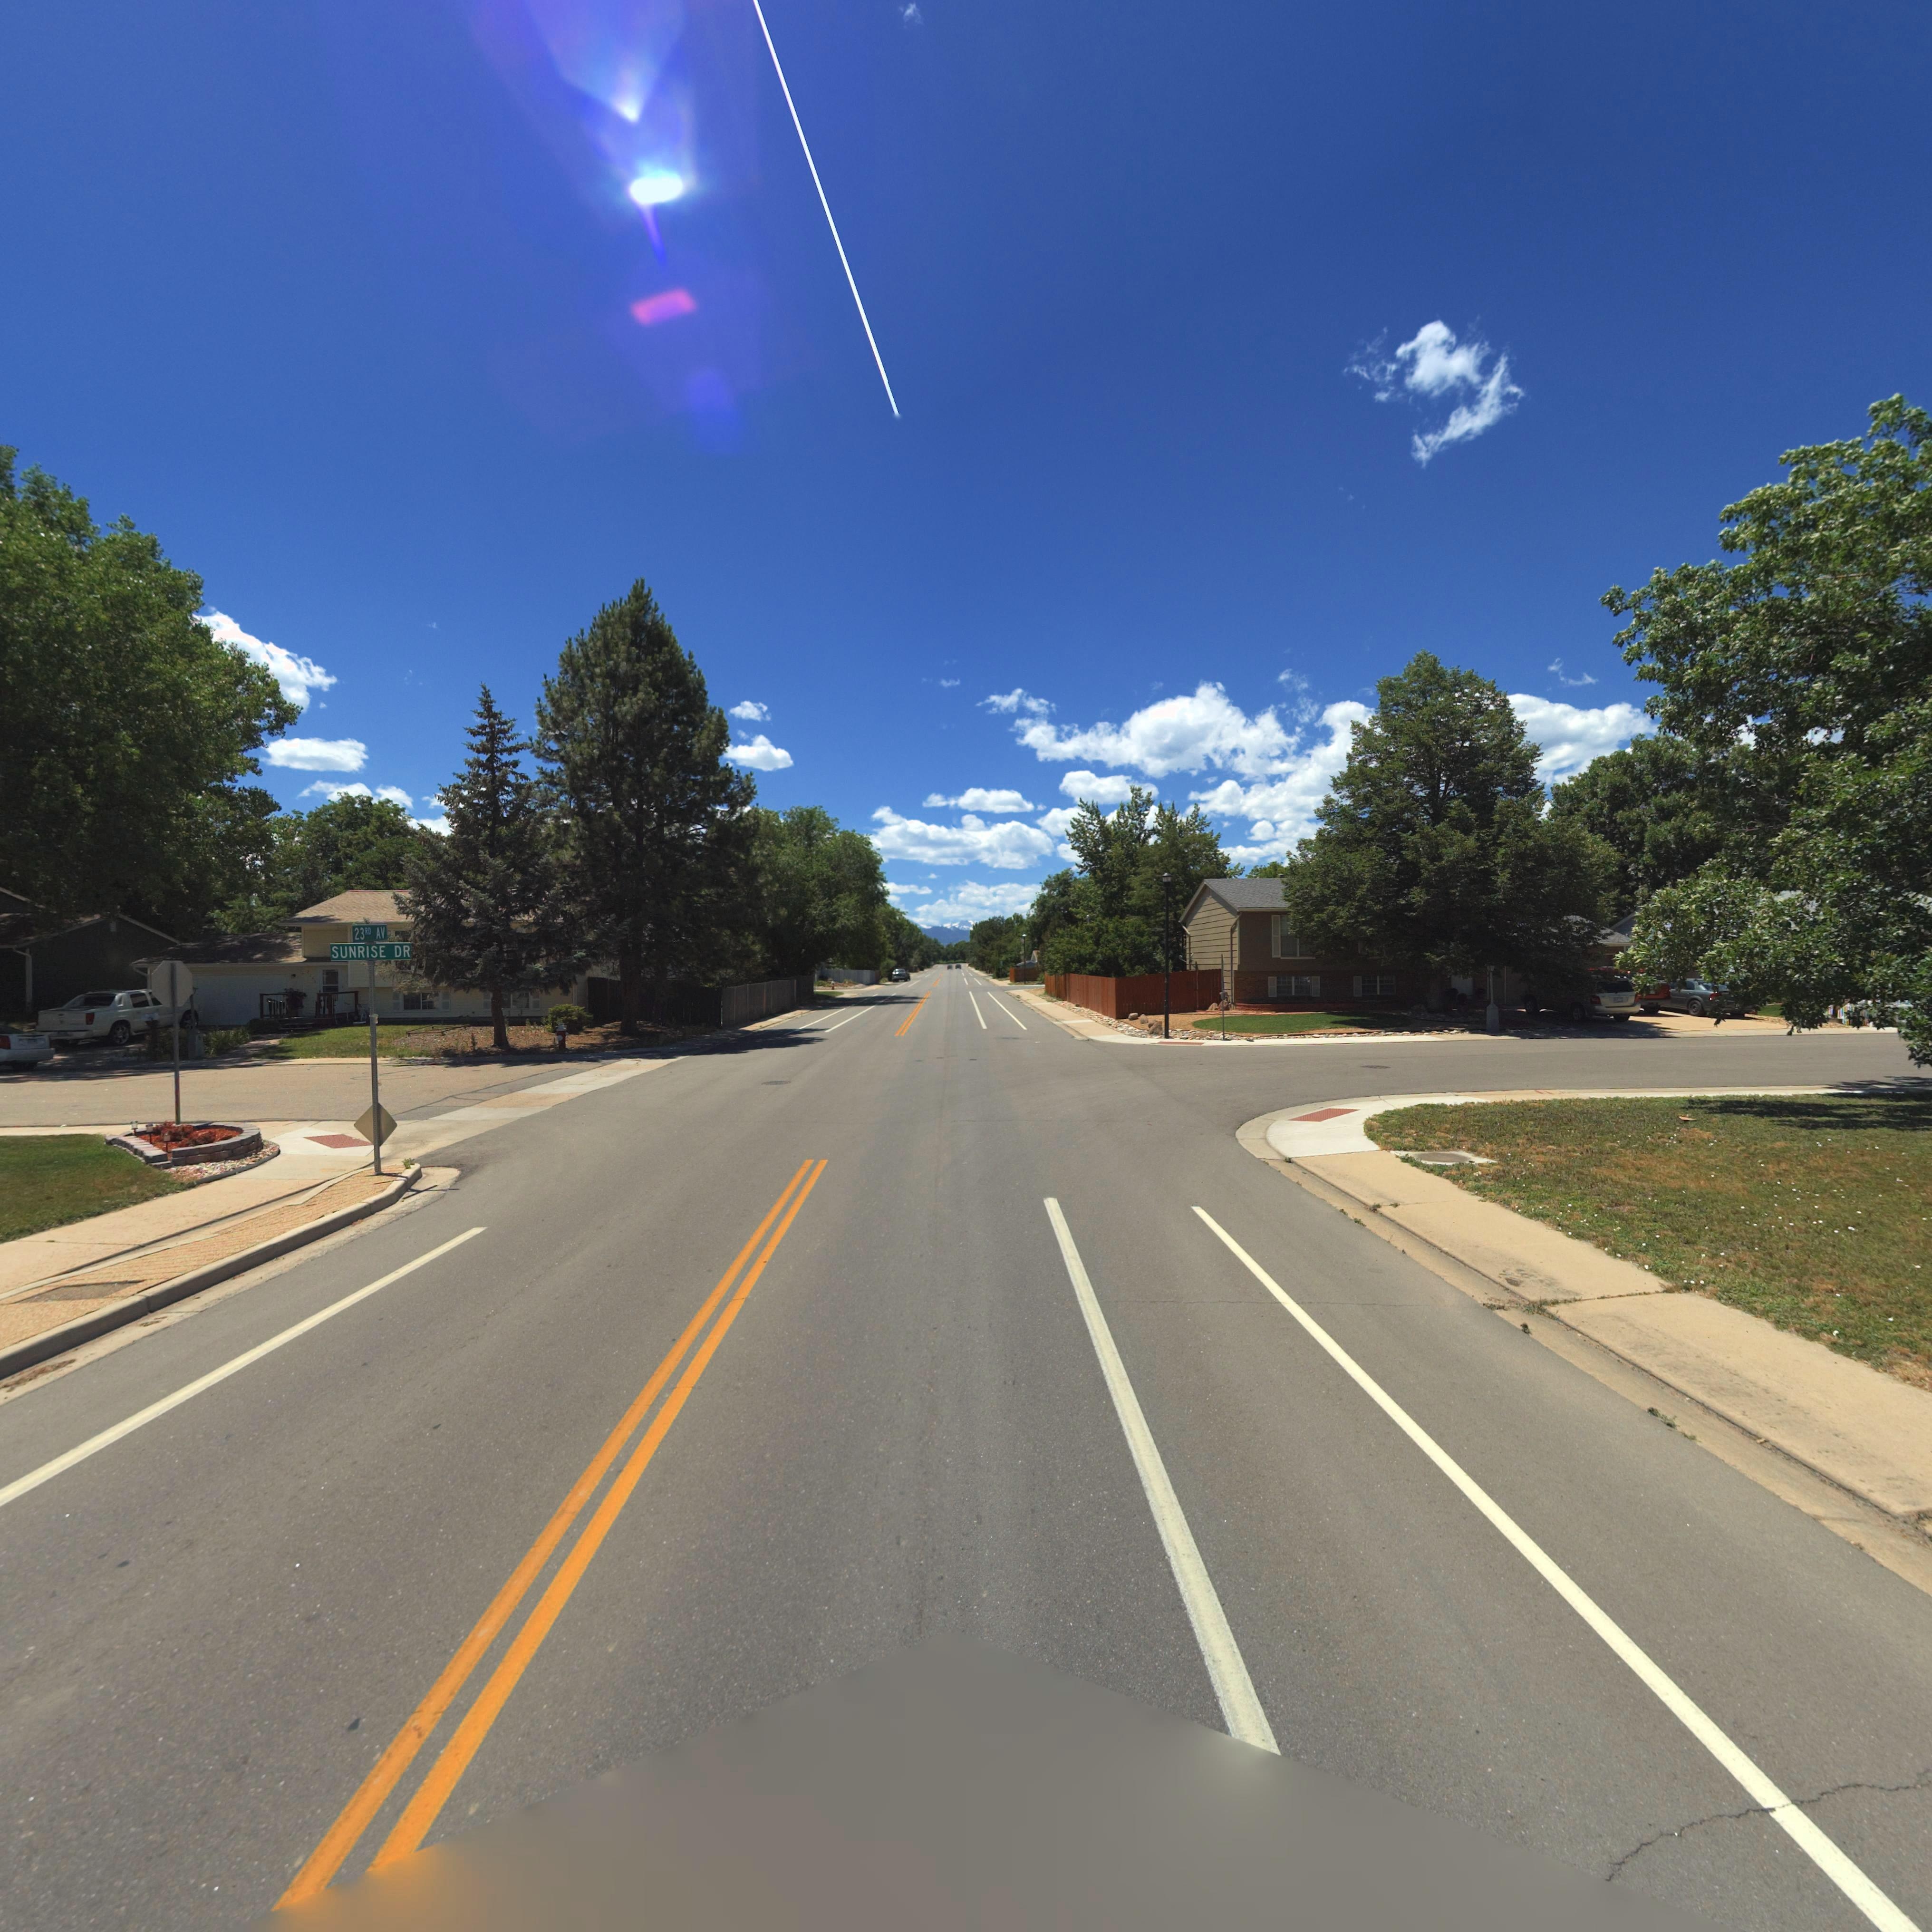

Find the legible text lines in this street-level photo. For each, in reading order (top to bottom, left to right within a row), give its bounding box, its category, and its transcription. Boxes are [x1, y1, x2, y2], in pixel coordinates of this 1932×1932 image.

[354, 926, 385, 940] StreetName: 23RD AV
[331, 945, 410, 958] StreetName: SUNRISE DR
[307, 970, 316, 984] StreetNumber: *2**